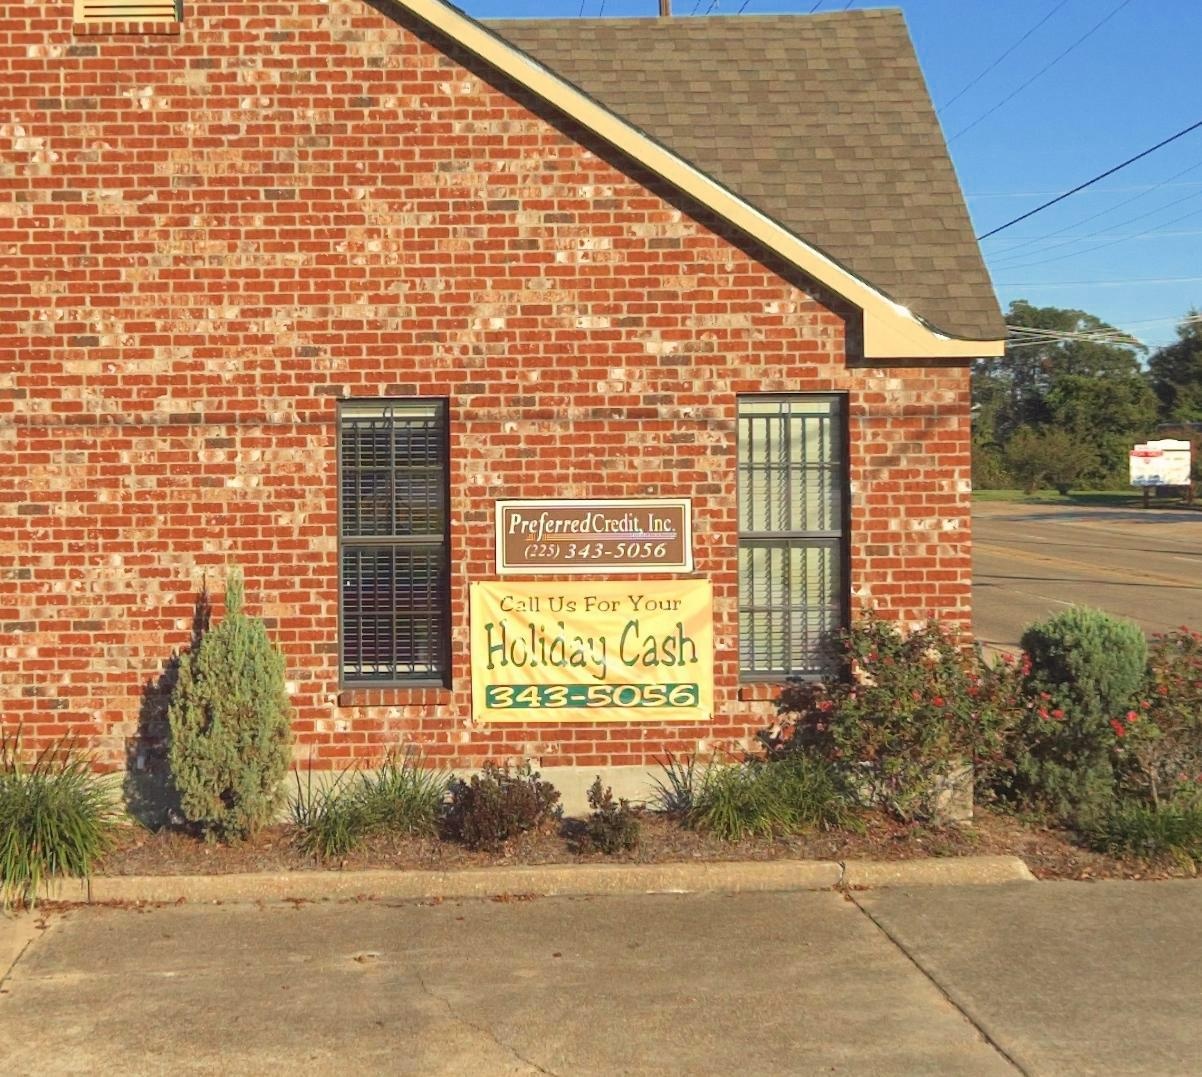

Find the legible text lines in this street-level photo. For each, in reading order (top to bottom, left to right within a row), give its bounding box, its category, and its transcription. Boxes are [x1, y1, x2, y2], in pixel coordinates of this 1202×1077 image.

[508, 510, 677, 542] BusinessName: Preferred Credit, Inc.
[523, 542, 668, 560] None: (225)343-5056
[499, 593, 683, 613] None: Call Us For Your
[483, 618, 700, 681] None: Holiday Cash
[488, 685, 696, 708] None: 343-5056